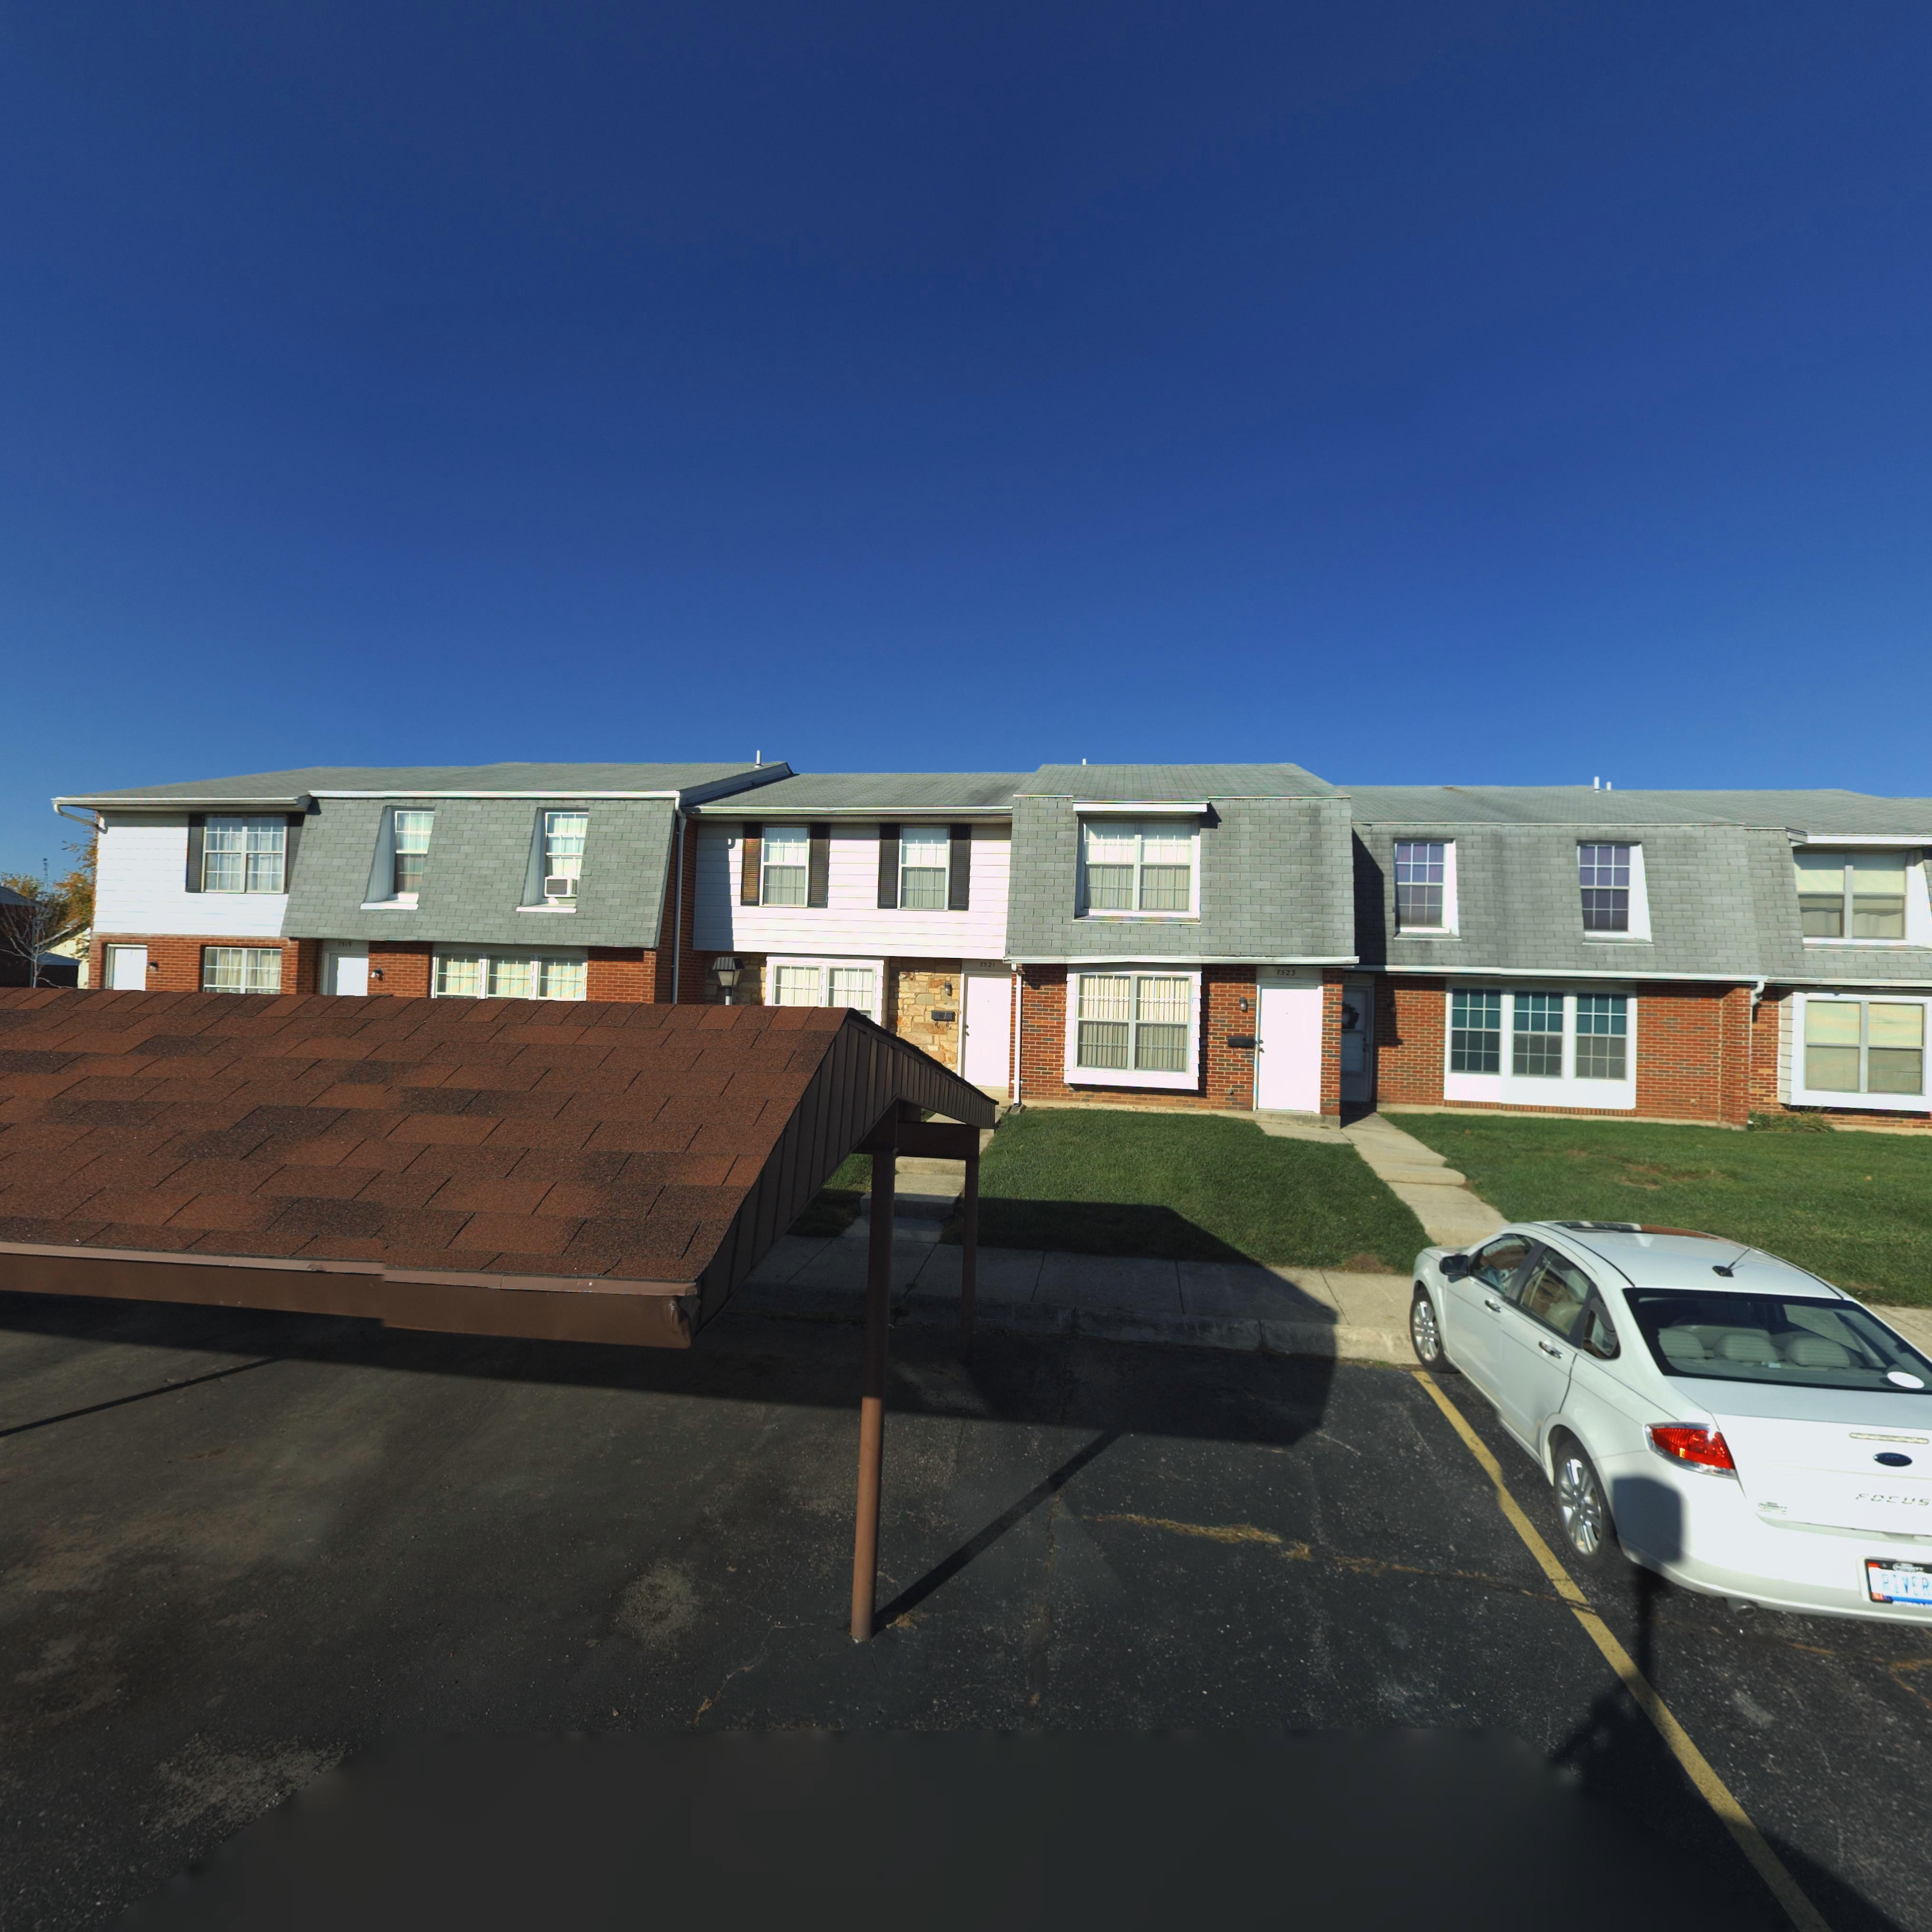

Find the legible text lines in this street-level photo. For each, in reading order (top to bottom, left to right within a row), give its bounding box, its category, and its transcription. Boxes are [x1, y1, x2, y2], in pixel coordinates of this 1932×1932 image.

[338, 941, 352, 947] StreetNumber: 7519
[979, 961, 995, 968] StreetNumber: 7521
[1276, 968, 1296, 976] StreetNumber: 7523
[1342, 974, 1352, 980] StreetNumber: 25